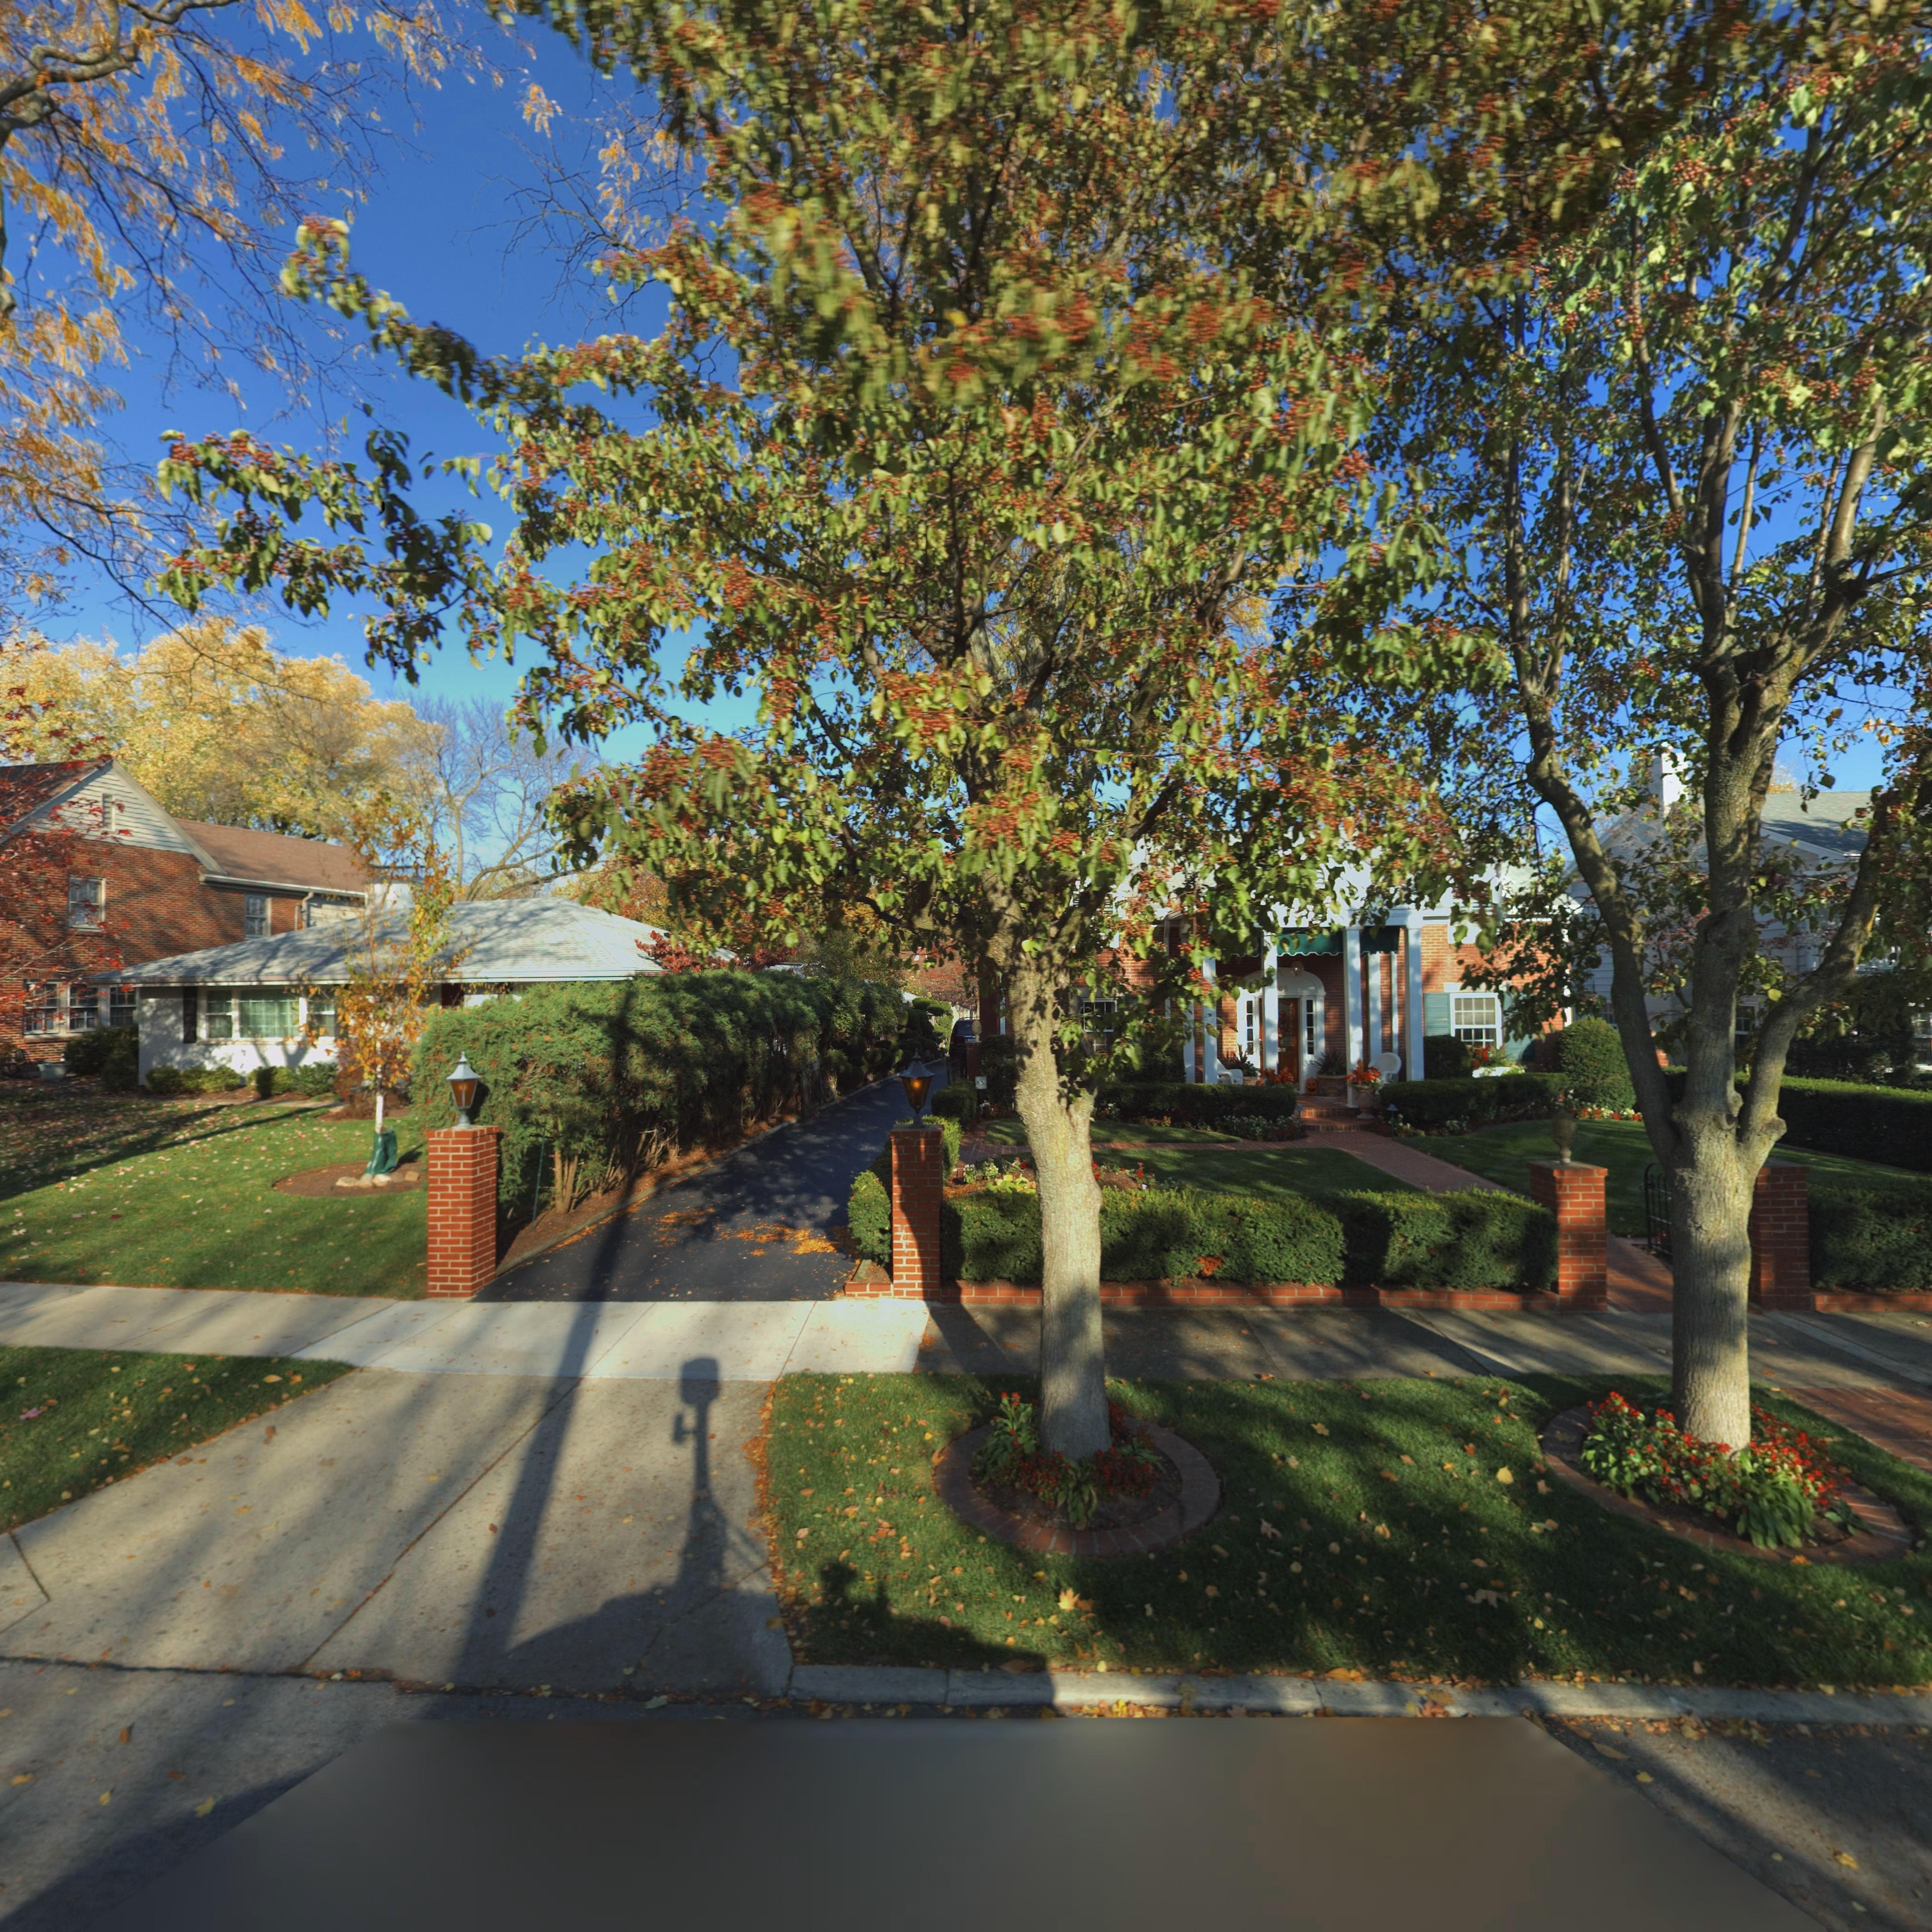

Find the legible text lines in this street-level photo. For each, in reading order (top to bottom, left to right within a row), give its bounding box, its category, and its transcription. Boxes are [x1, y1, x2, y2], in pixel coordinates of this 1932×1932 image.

[1278, 985, 1288, 992] StreetNumber: 68